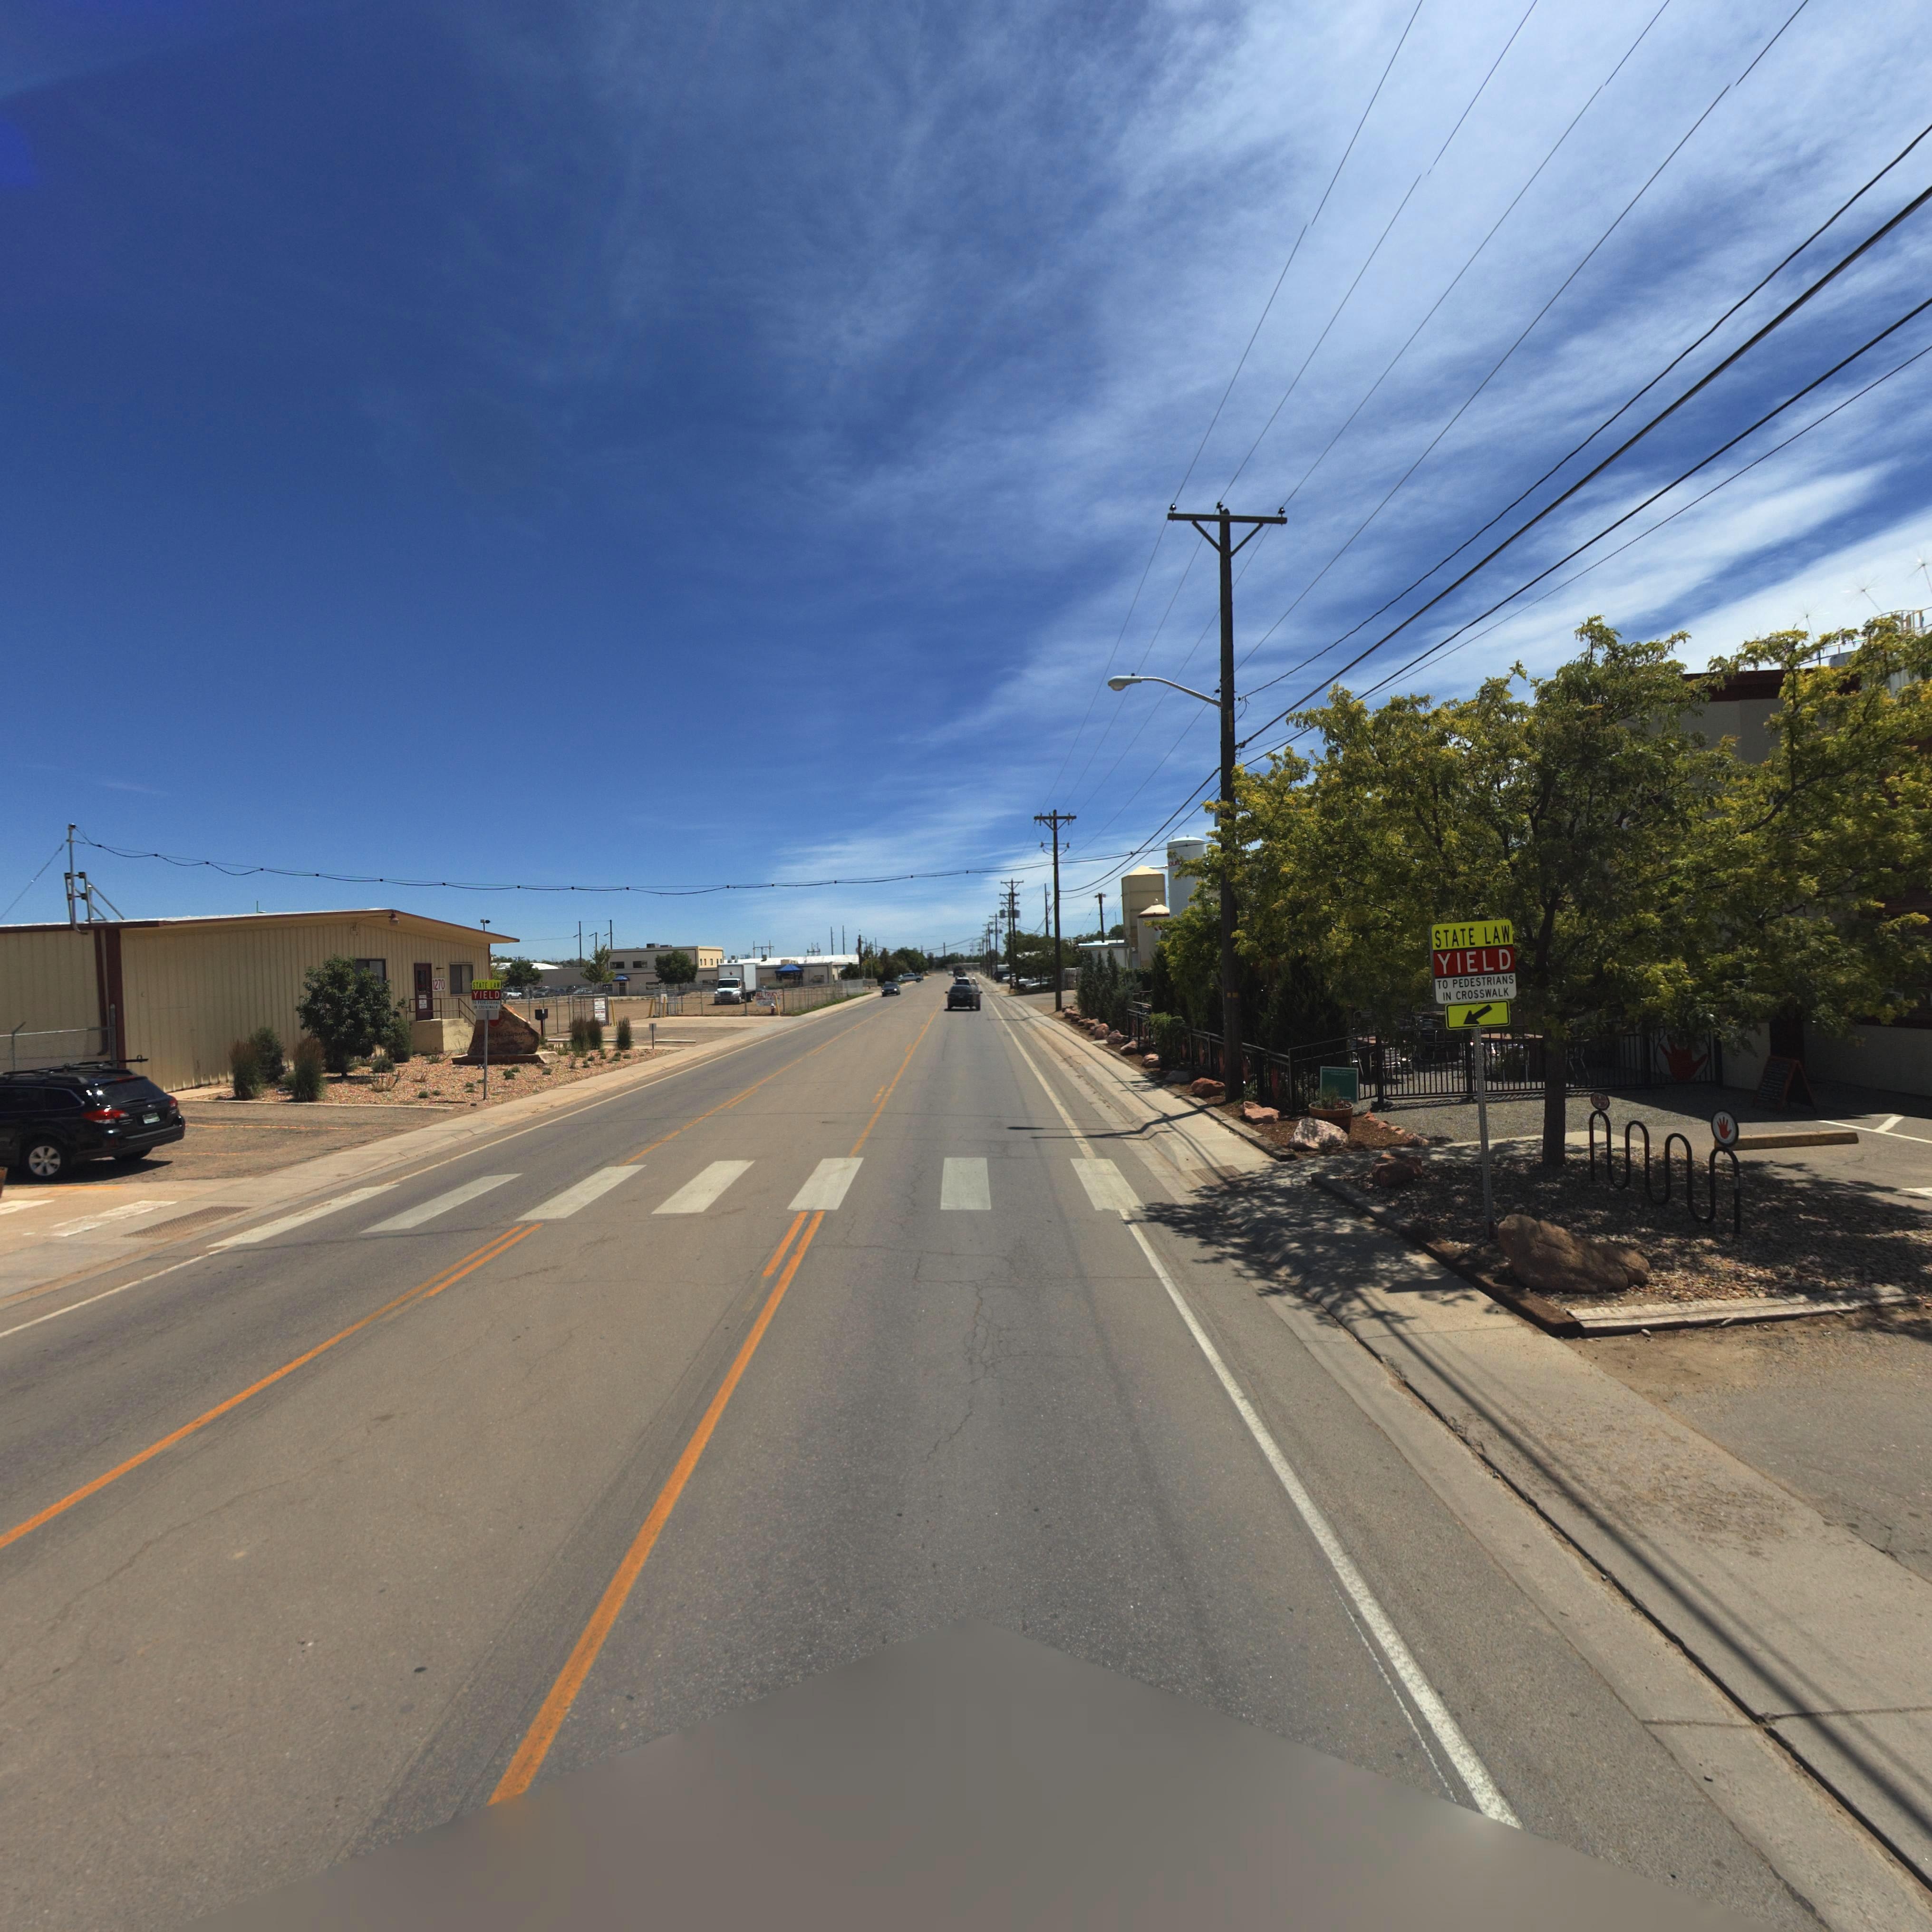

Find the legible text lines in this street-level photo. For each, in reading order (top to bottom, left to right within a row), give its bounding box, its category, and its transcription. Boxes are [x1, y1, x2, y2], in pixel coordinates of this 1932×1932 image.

[432, 979, 445, 990] StreetNumber: 1270